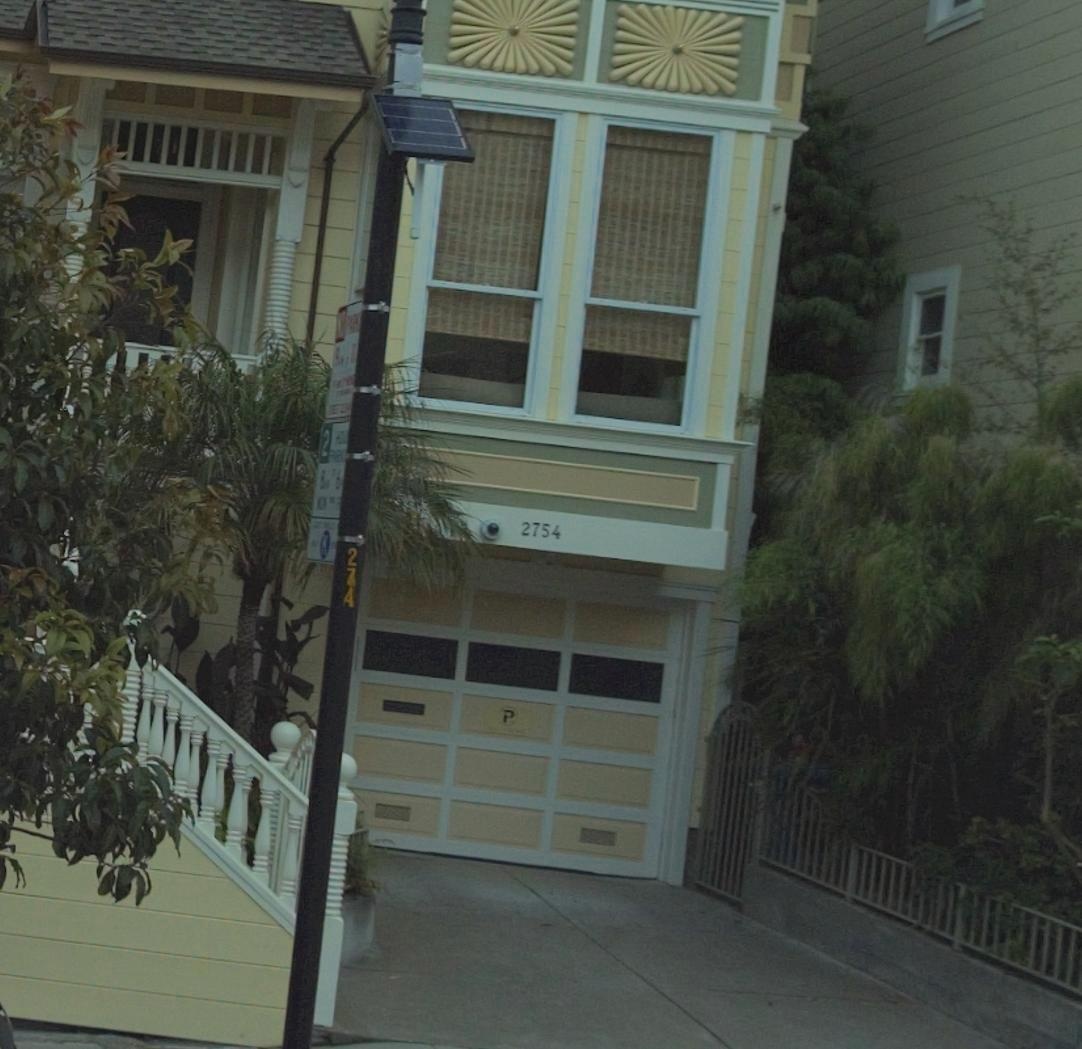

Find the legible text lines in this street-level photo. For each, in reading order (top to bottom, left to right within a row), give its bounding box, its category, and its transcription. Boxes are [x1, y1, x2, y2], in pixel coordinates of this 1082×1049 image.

[318, 426, 333, 460] None: 2
[332, 466, 344, 494] None: 6
[518, 518, 563, 543] StreetNumber: 2754
[340, 545, 361, 612] None: 2*4